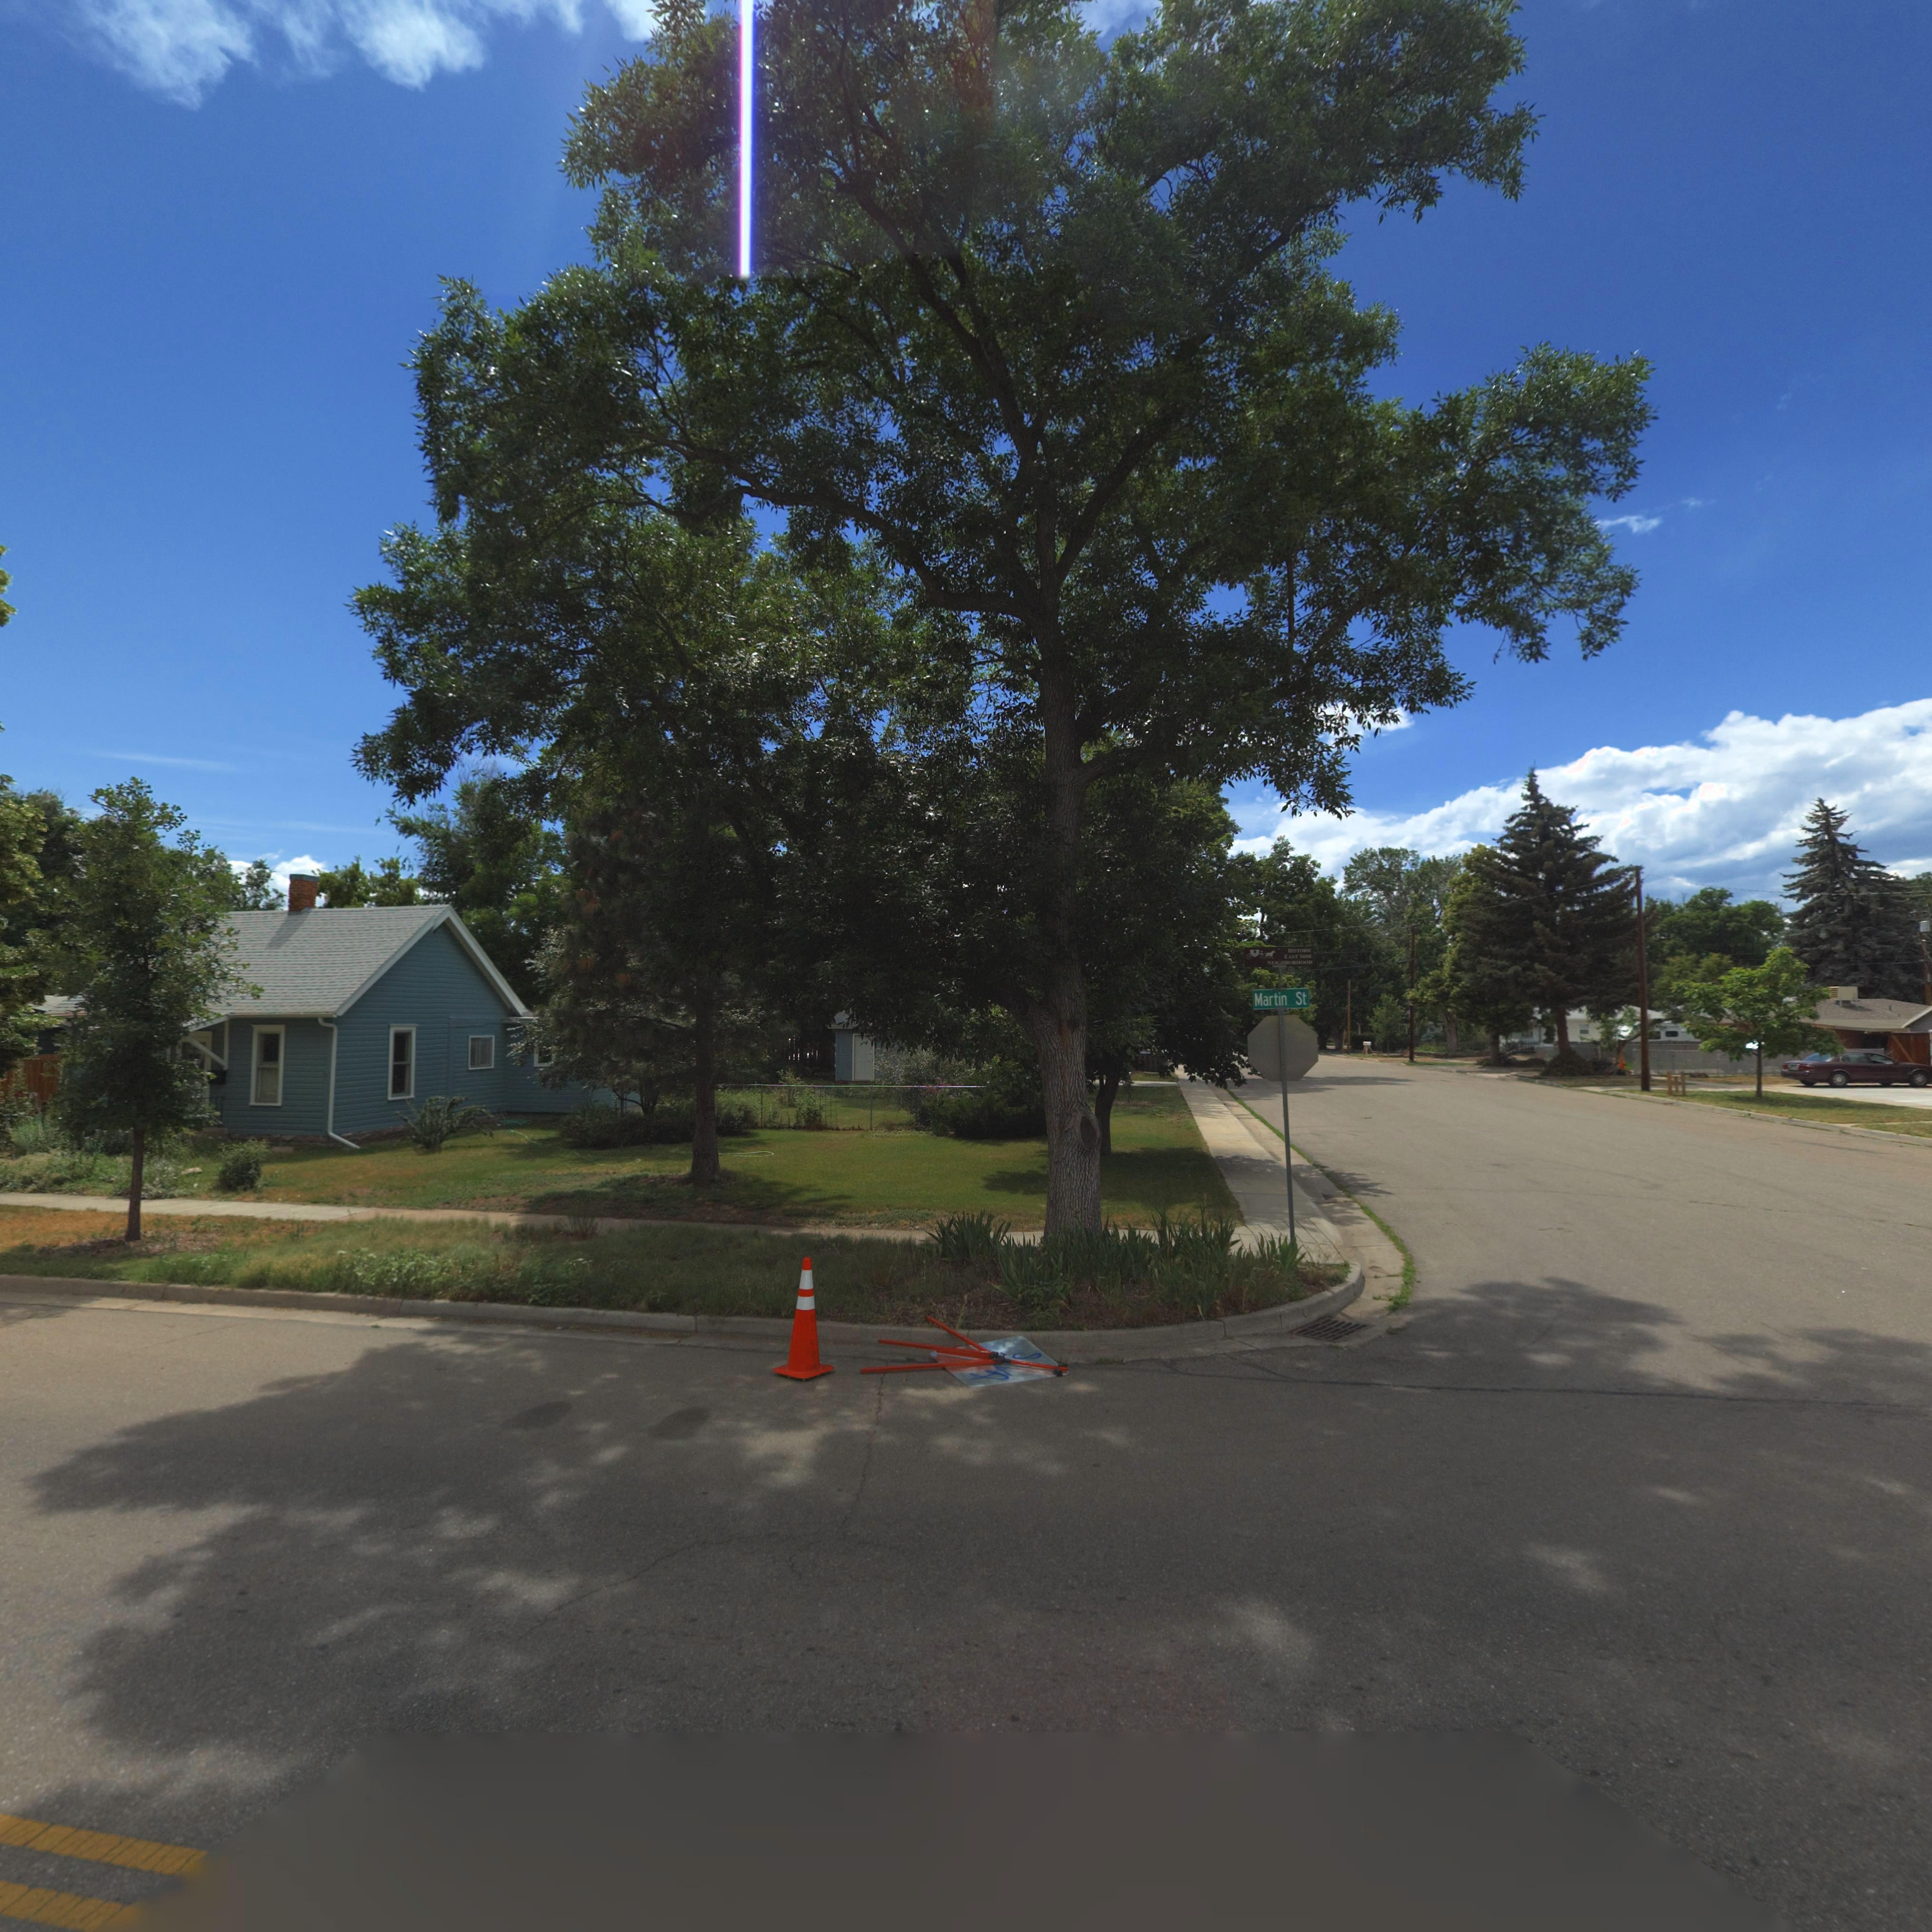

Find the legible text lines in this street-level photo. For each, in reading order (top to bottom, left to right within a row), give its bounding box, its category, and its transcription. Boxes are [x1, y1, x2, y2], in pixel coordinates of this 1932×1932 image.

[1254, 991, 1306, 1006] StreetName: Martin St